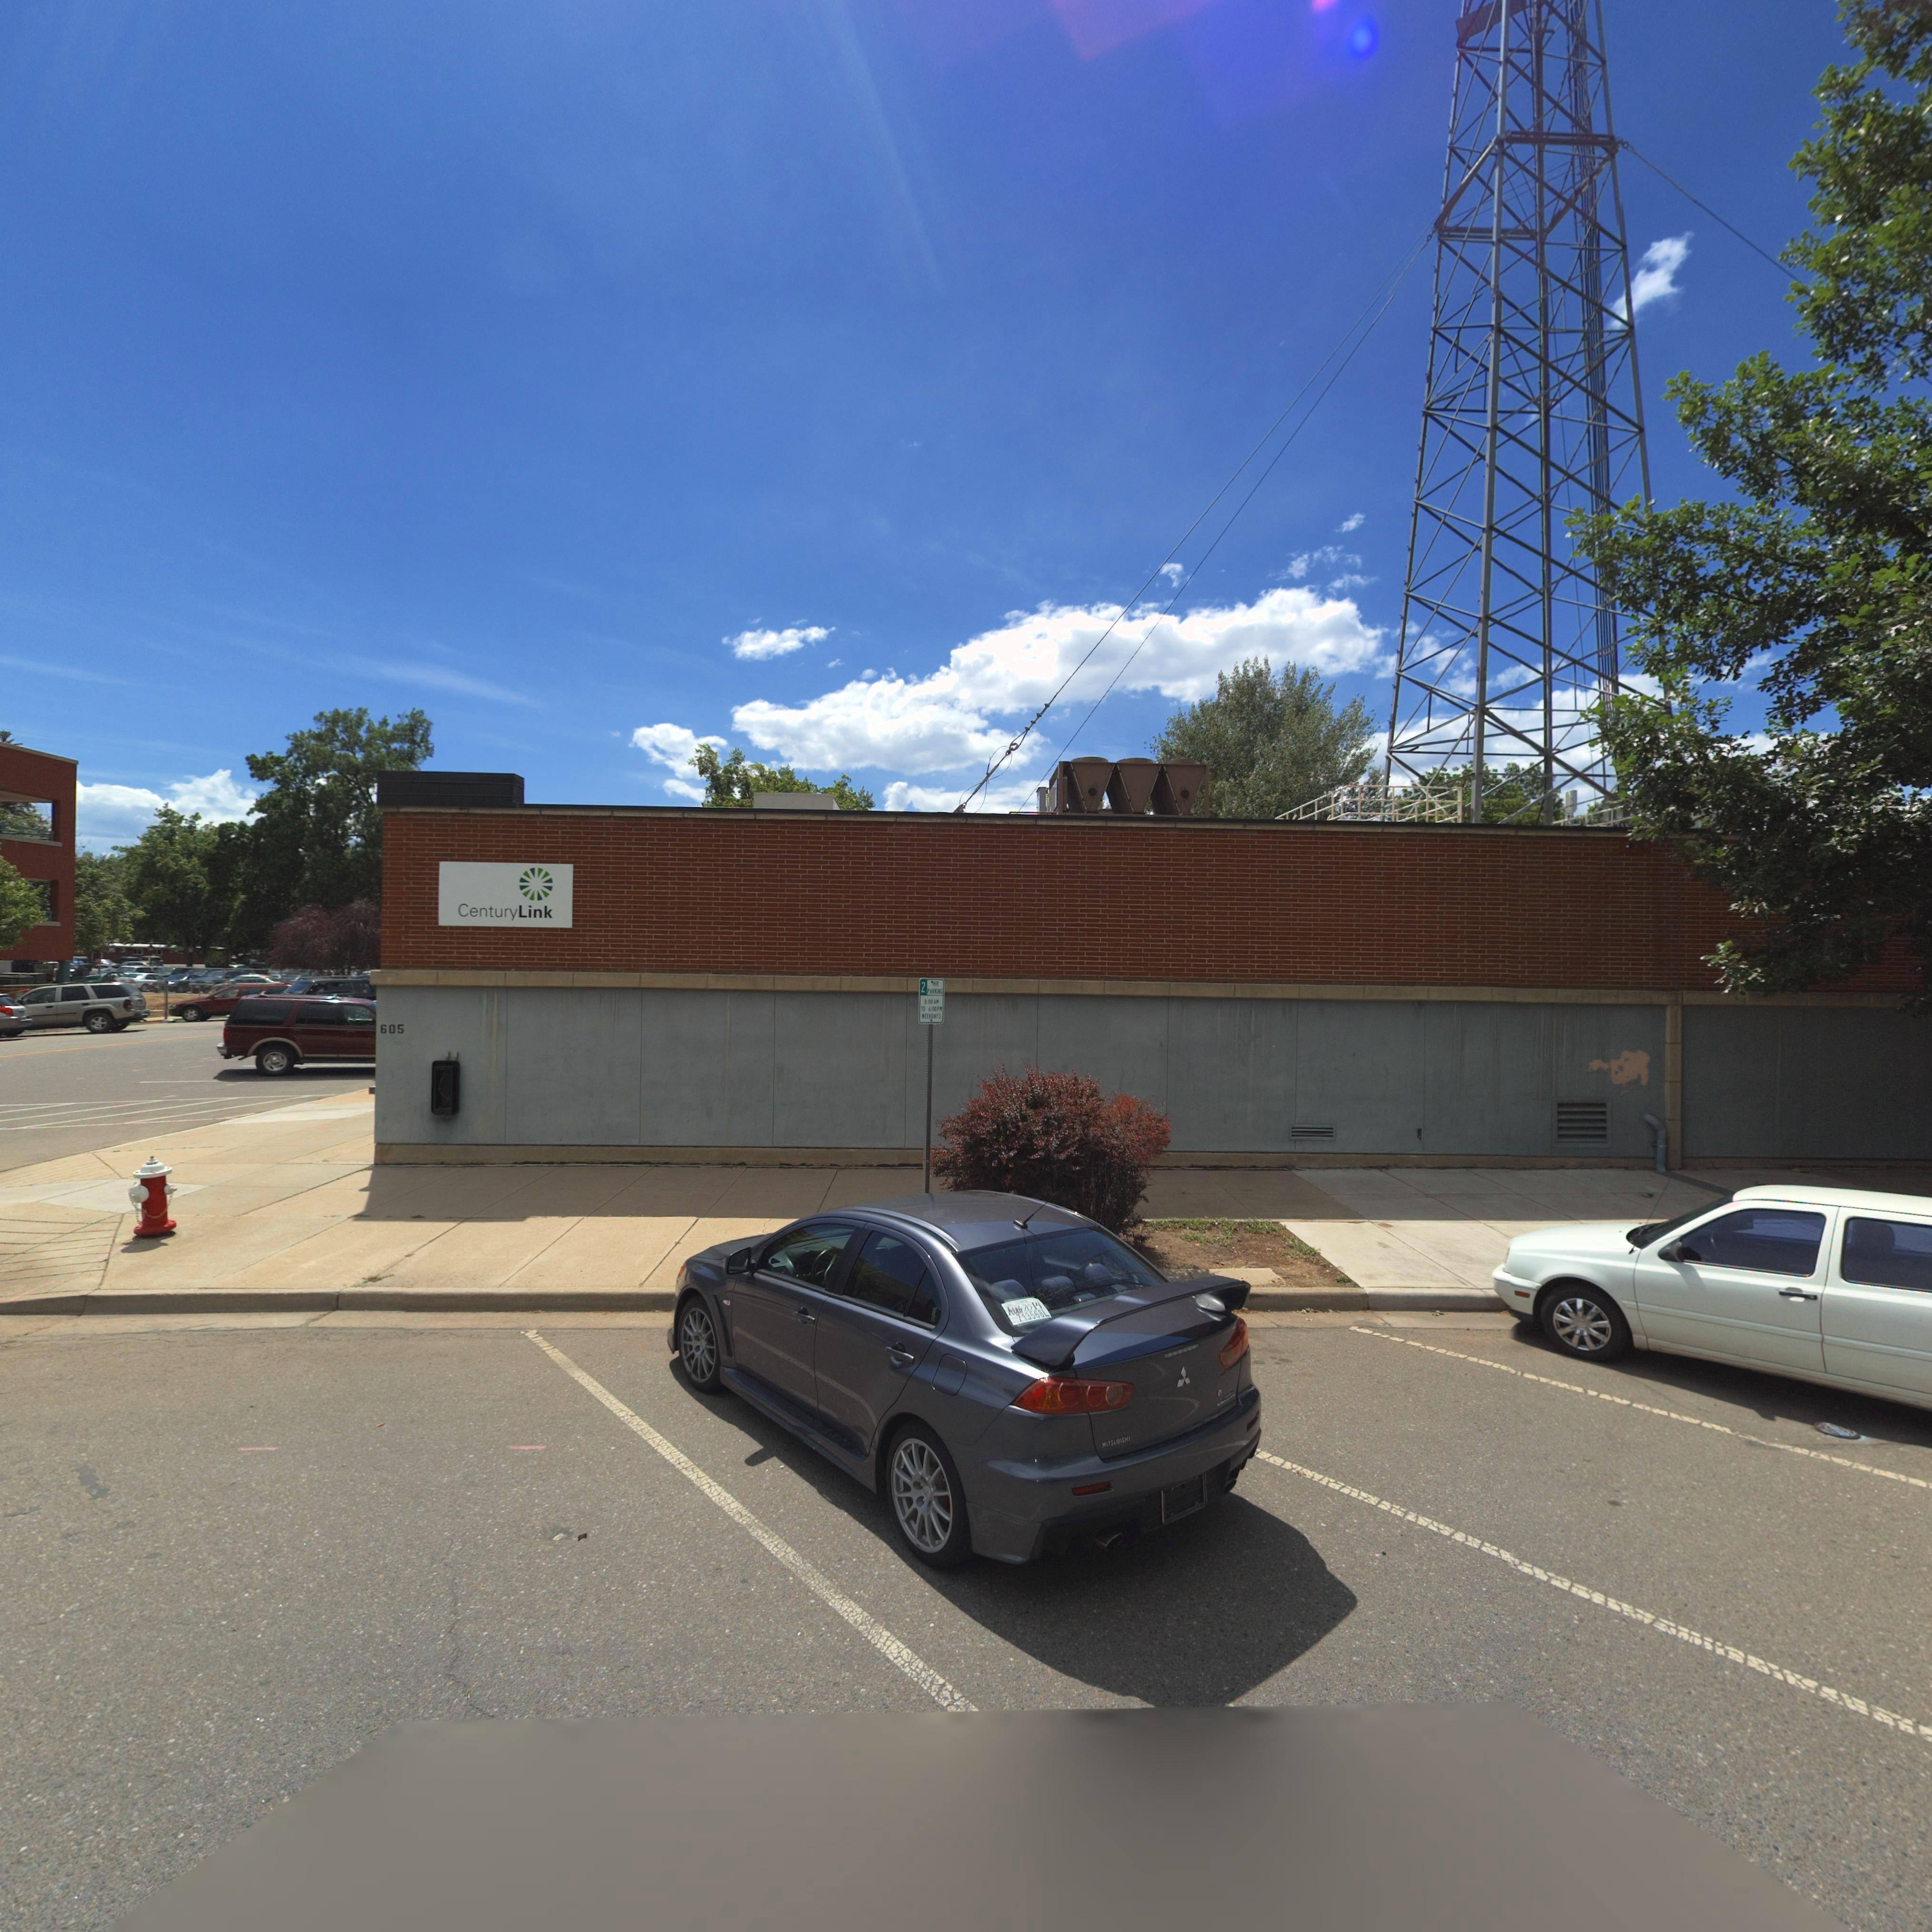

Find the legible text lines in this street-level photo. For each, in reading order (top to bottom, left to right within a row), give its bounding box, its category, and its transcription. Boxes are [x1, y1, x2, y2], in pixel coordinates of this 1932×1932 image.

[458, 903, 553, 921] BusinessName: CenturyLink
[380, 1024, 404, 1034] StreetNumber: 605